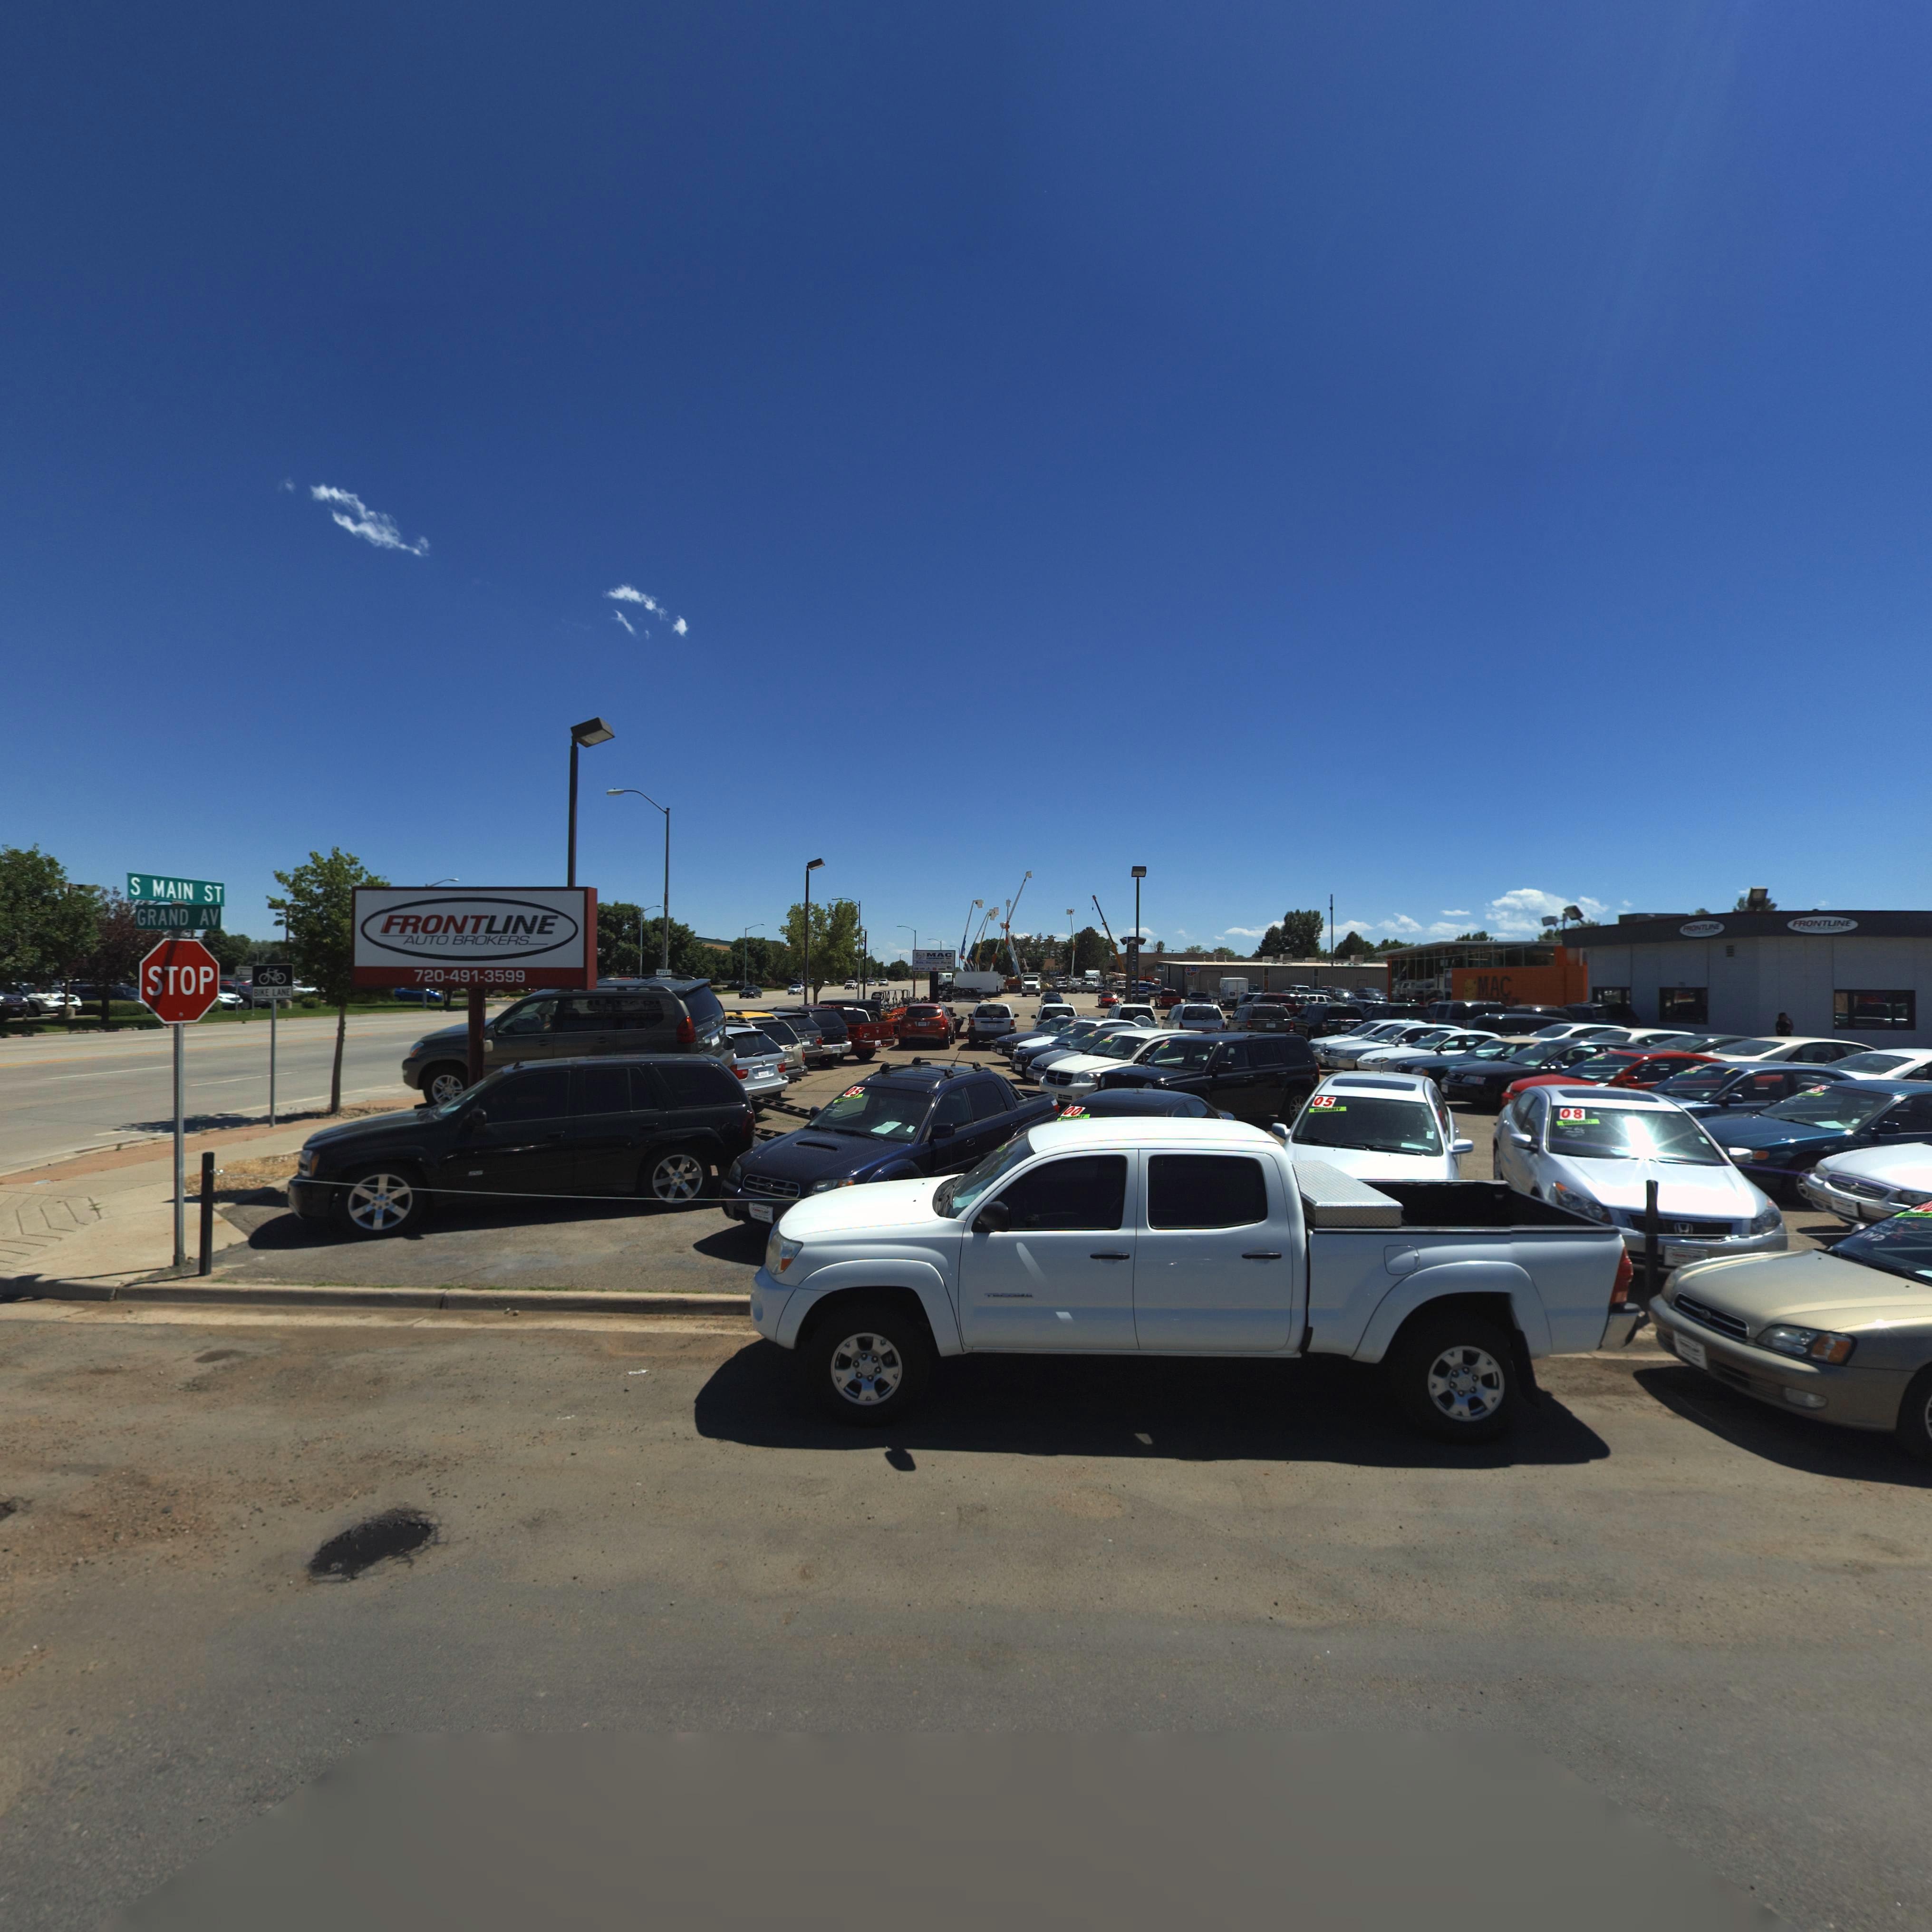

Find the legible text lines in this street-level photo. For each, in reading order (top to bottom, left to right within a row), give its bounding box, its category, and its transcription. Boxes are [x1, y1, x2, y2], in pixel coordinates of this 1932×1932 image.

[128, 876, 224, 904] StreetName: S MAIN ST
[136, 908, 220, 926] StreetName: GRAND AV
[379, 913, 560, 936] BusinessName: FRONTLINE
[1682, 923, 1720, 931] BusinessName: FRONTLINE
[1791, 919, 1853, 927] BusinessName: FRONTLINE
[402, 934, 531, 946] BusinessName: AUTO BROKERS
[926, 952, 952, 957] BusinessName: MAC
[1477, 976, 1512, 997] BusinessName: MAC